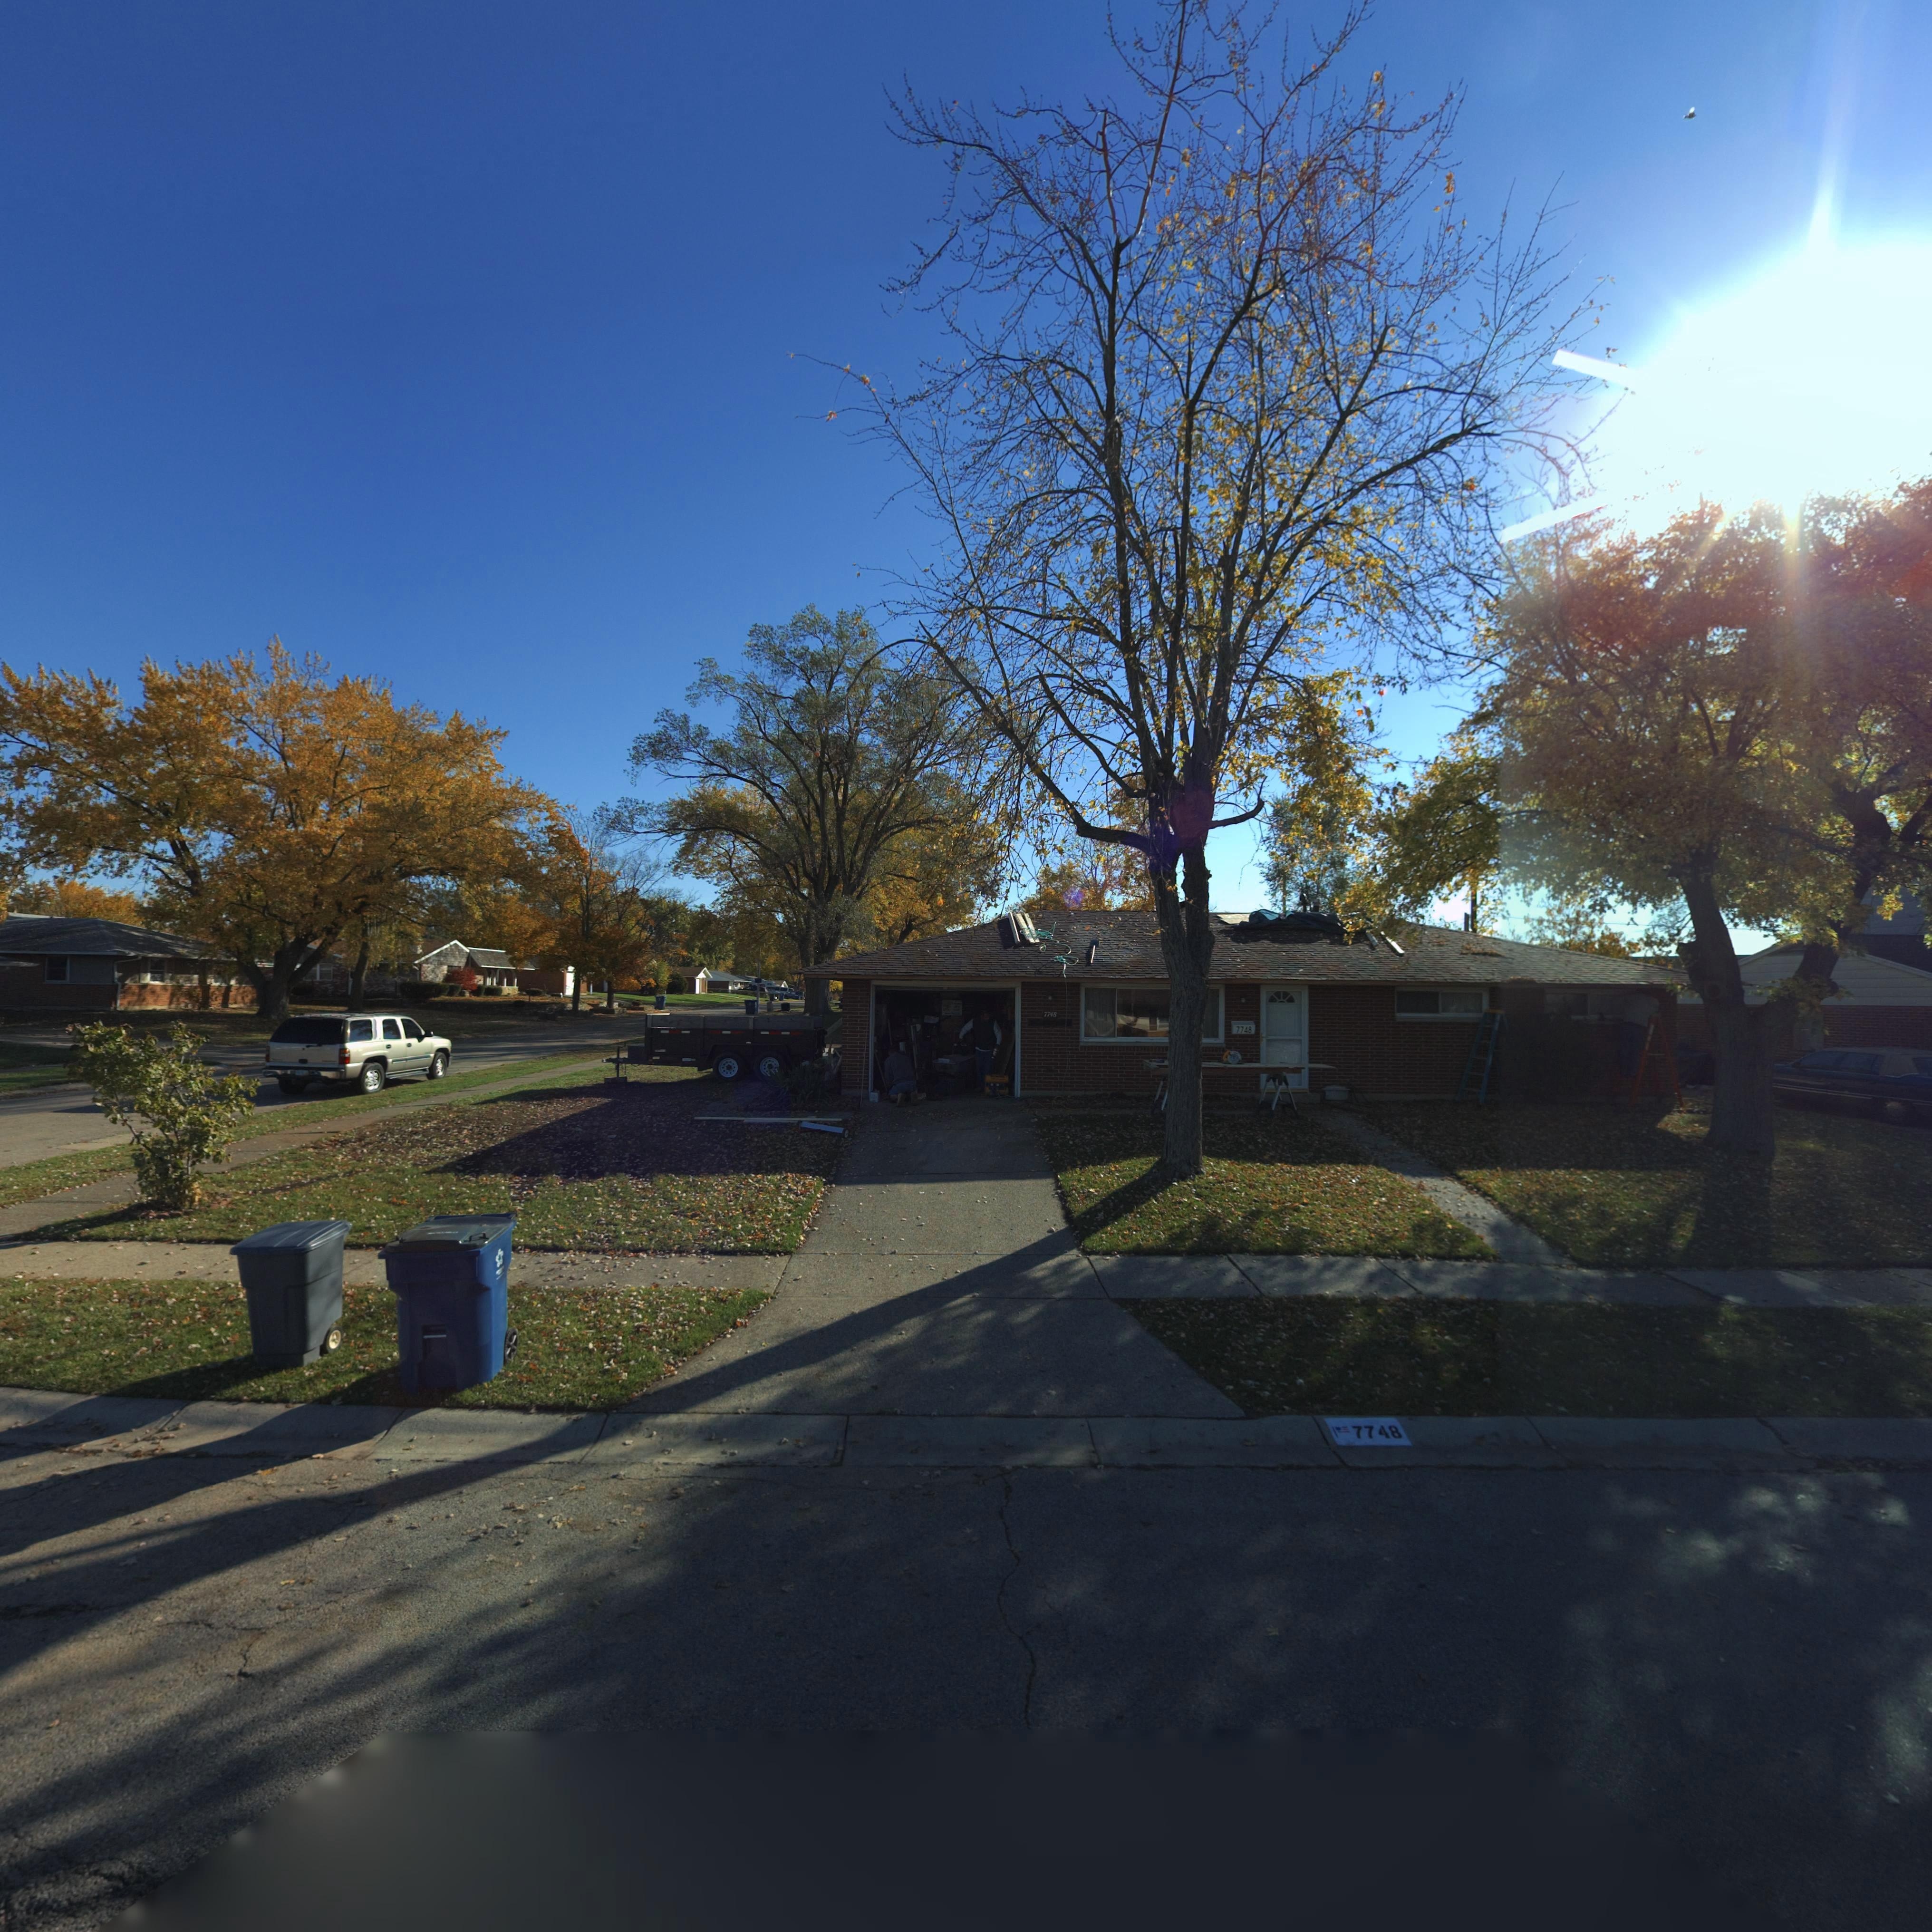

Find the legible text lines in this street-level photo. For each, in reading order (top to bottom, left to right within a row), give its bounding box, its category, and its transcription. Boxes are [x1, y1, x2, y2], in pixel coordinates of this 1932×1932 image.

[1043, 1011, 1057, 1018] StreetNumber: 7748
[1236, 1025, 1252, 1034] StreetNumber: 7748
[1351, 1425, 1404, 1439] StreetNumber: 7748